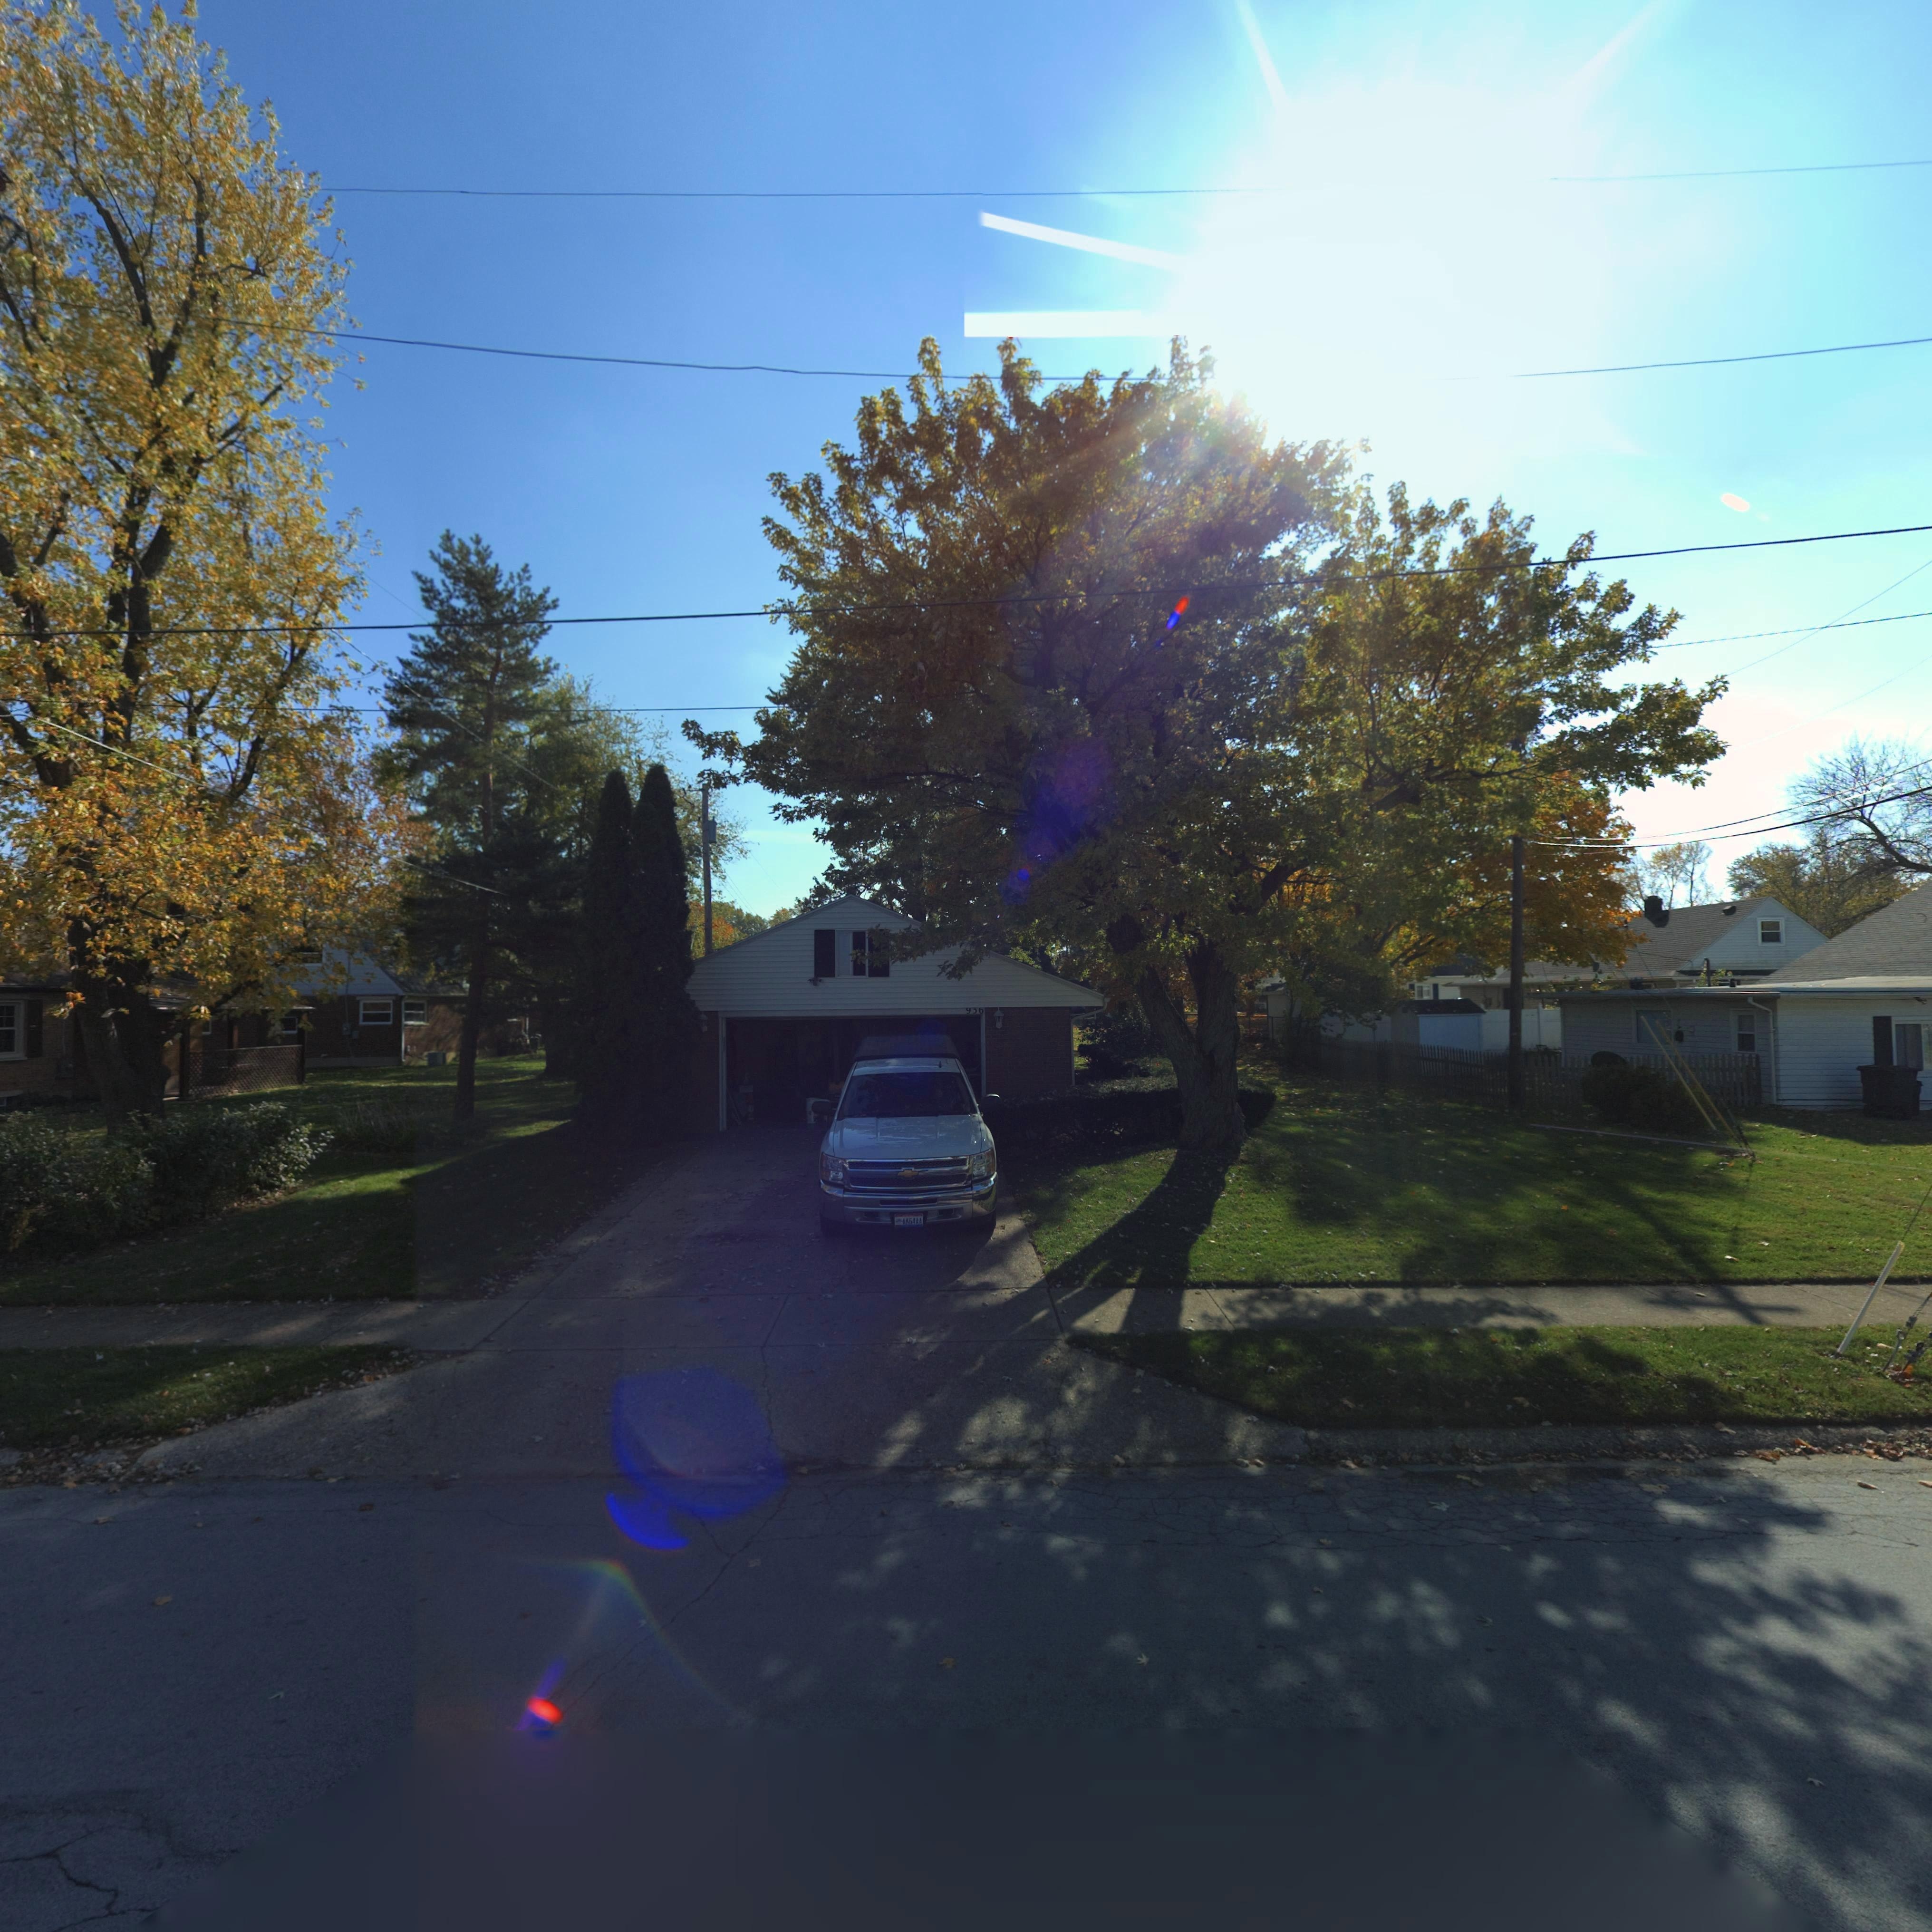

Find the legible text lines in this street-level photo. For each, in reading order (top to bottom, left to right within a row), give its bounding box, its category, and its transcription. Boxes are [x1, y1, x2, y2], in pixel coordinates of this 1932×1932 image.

[966, 1007, 984, 1014] StreetNumber: **6
[902, 1217, 922, 1225] None: AK54AA